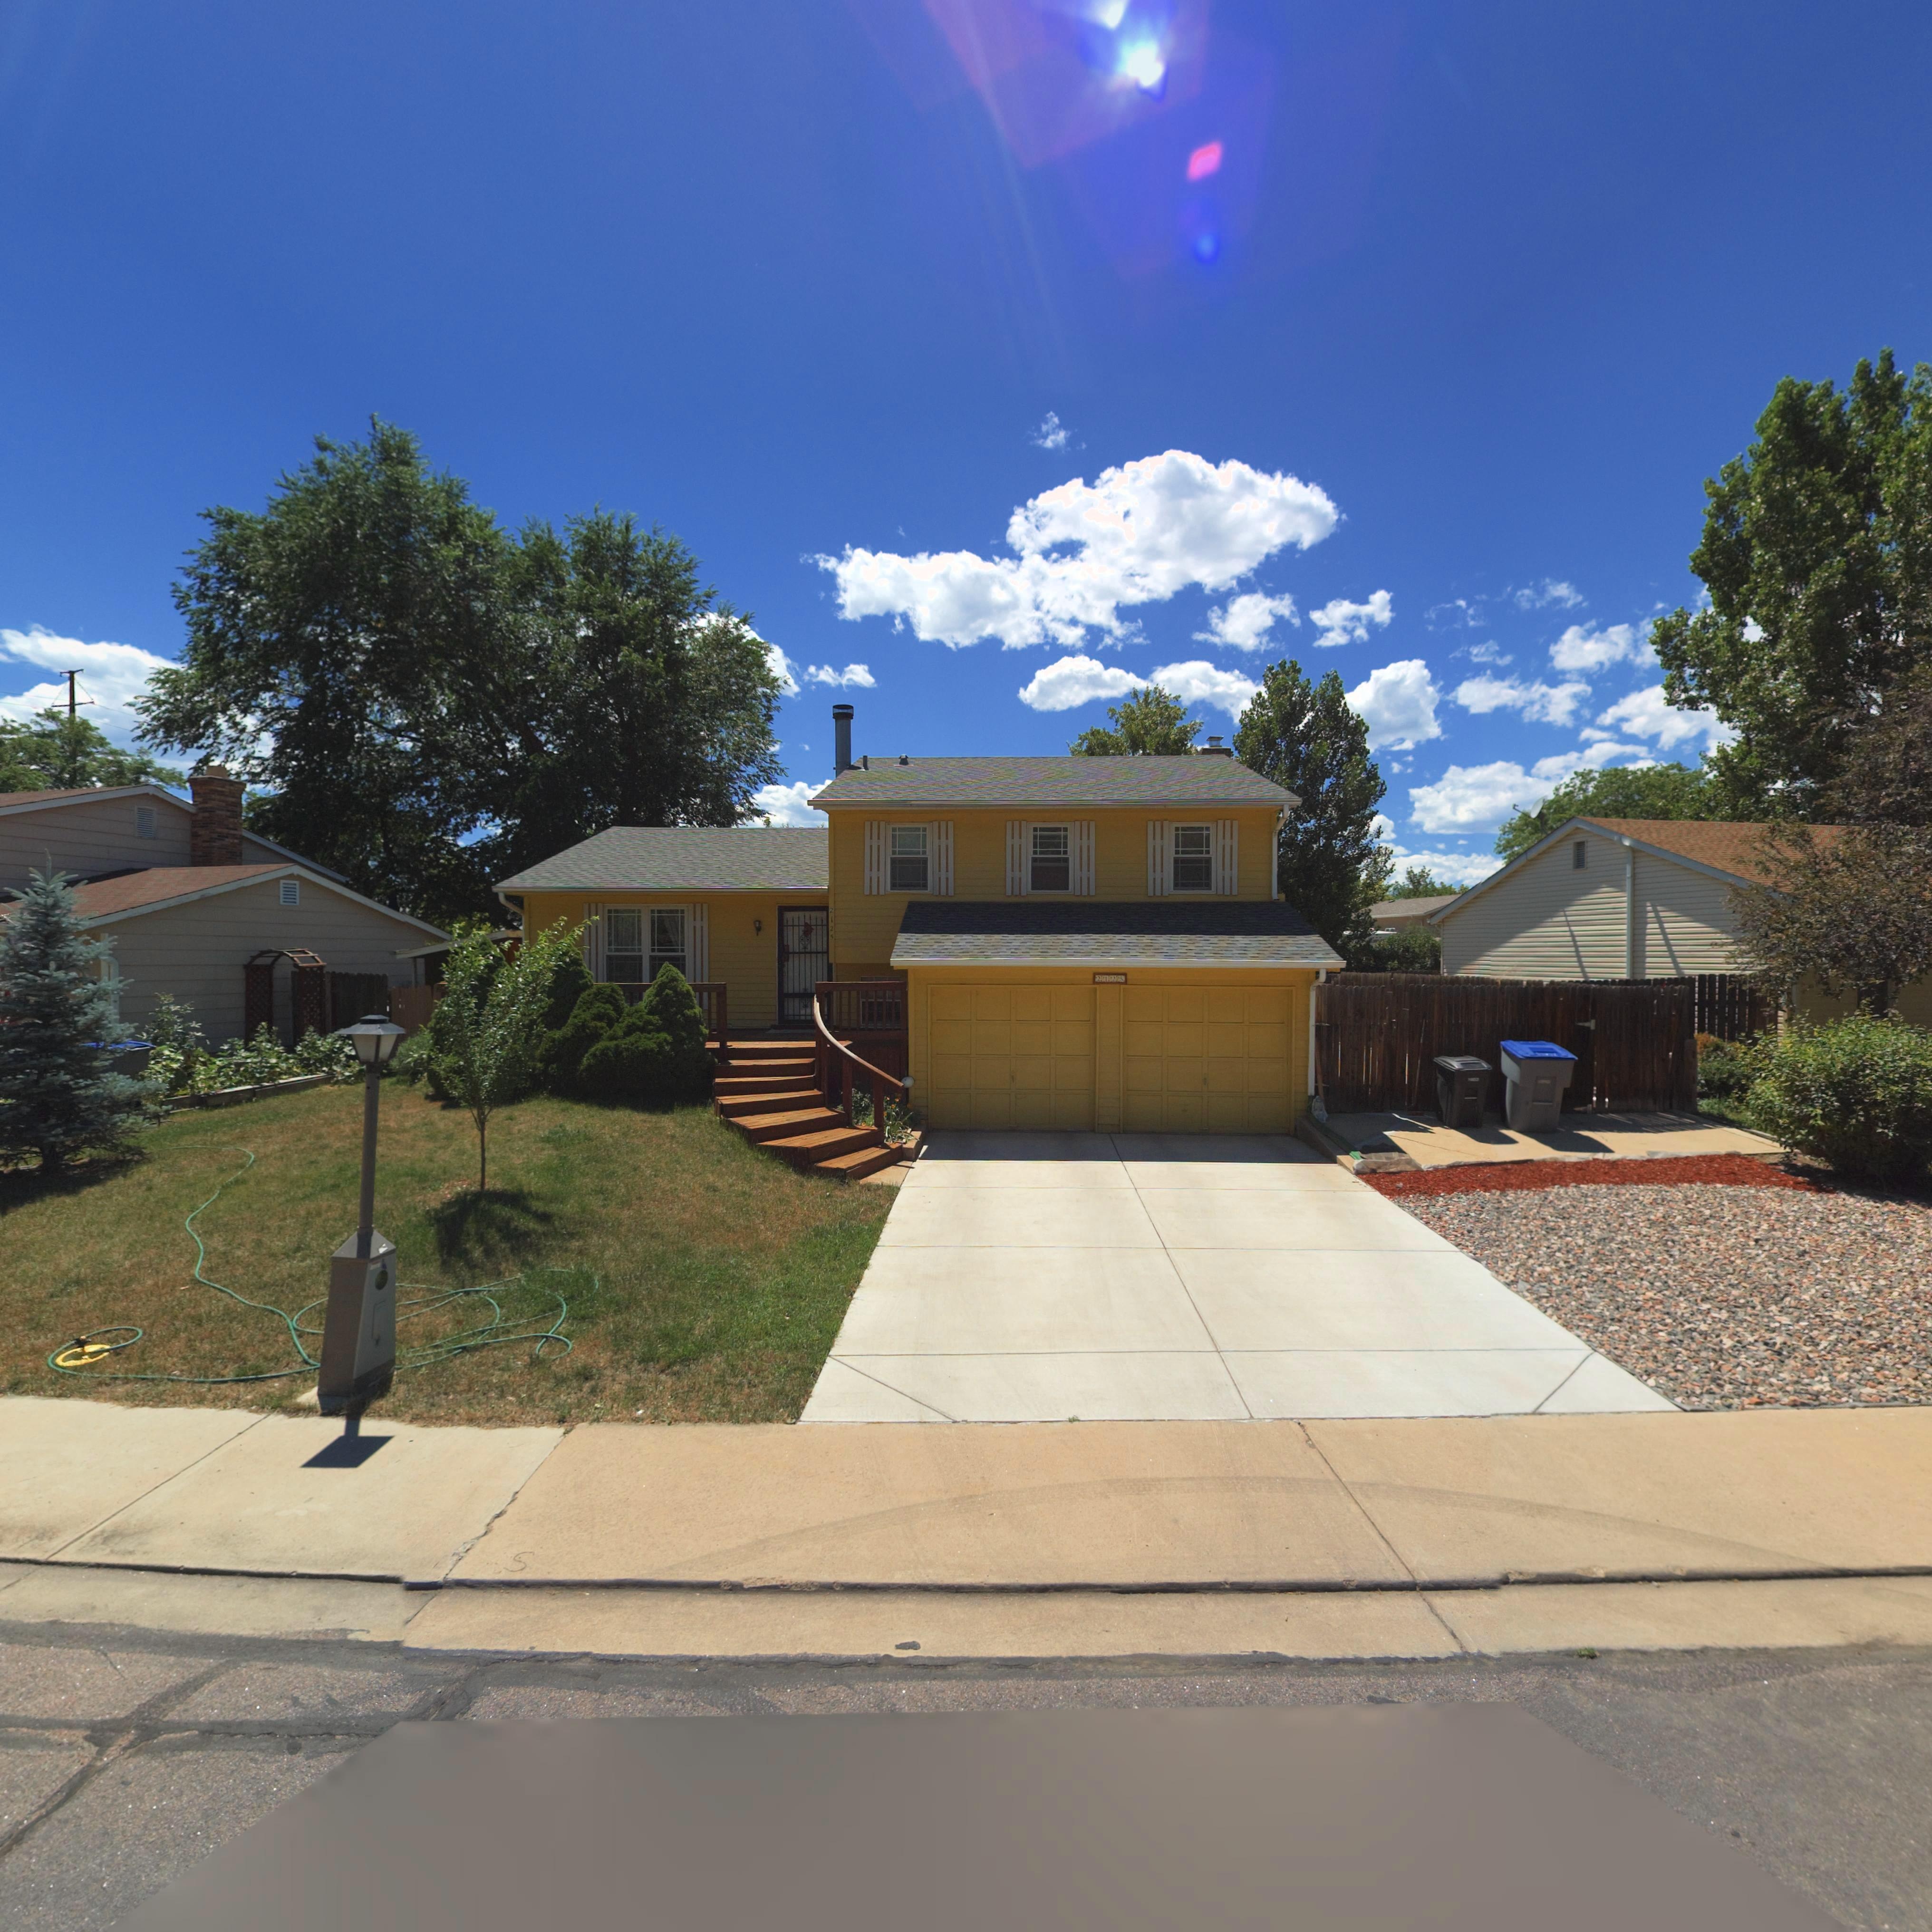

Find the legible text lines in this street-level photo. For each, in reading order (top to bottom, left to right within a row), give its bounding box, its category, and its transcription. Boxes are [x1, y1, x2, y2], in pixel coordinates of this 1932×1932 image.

[829, 907, 834, 940] StreetNumber: 2125
[1097, 976, 1123, 982] StreetNumber: 2125